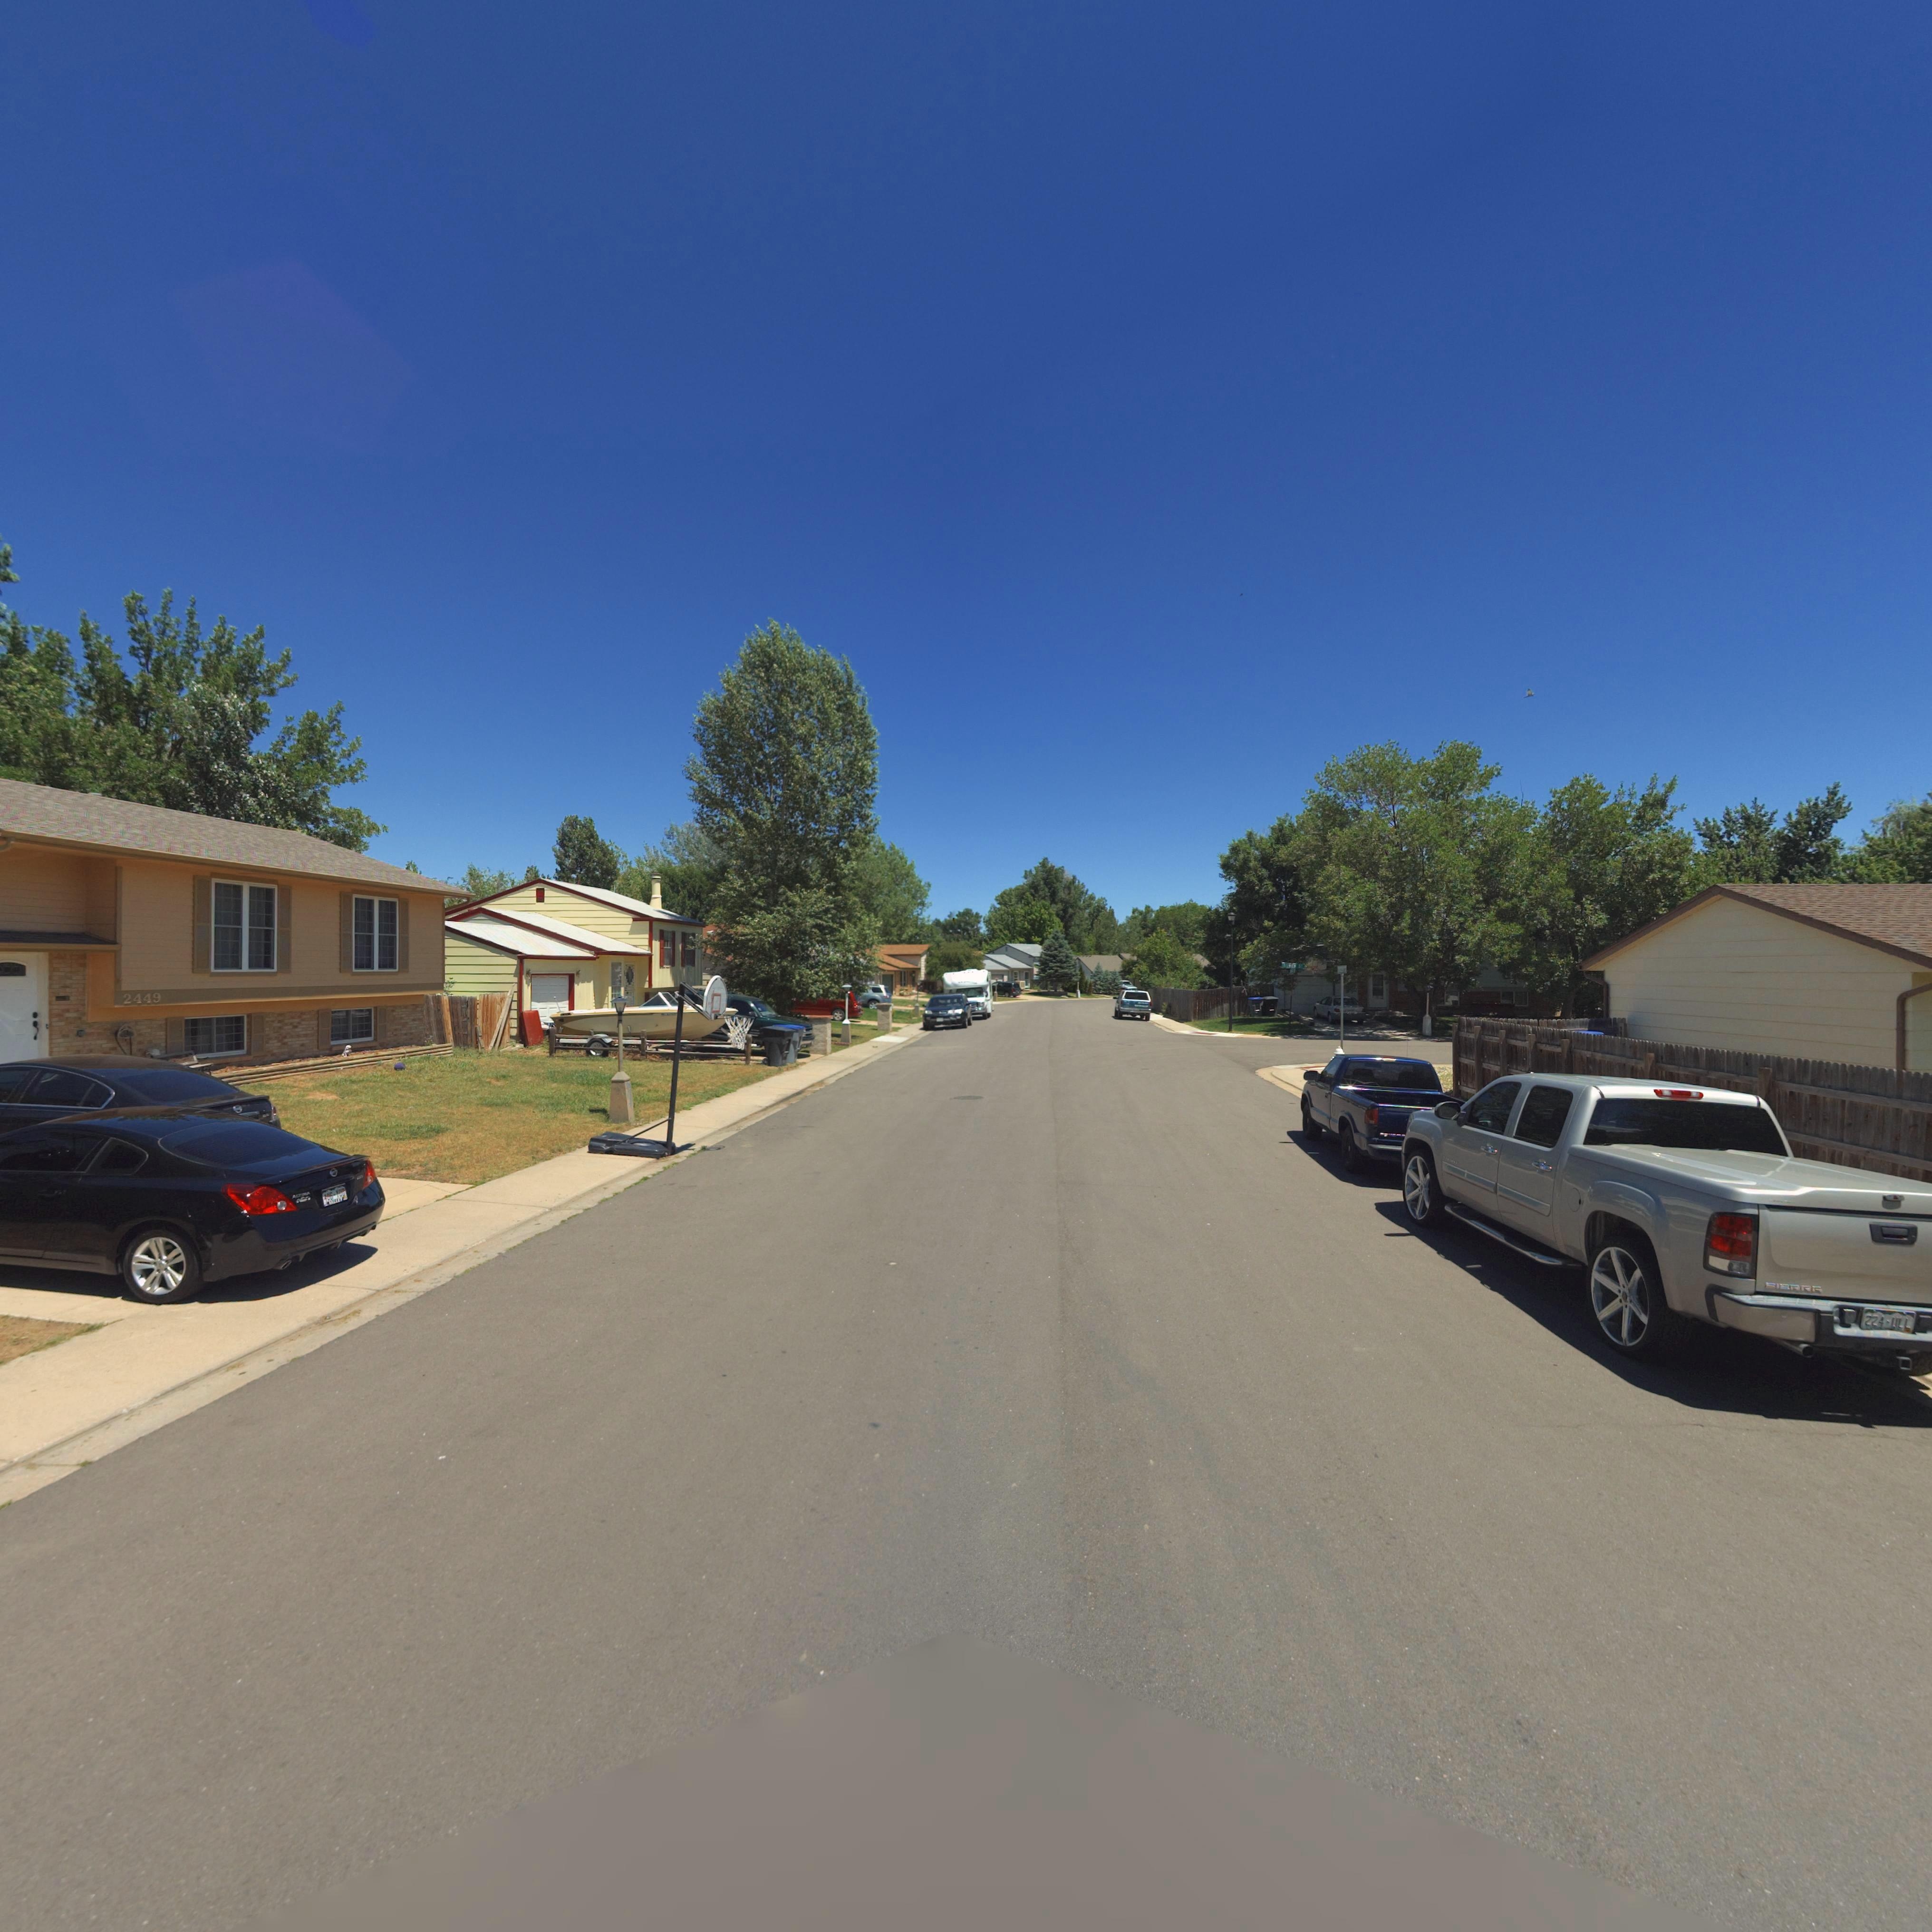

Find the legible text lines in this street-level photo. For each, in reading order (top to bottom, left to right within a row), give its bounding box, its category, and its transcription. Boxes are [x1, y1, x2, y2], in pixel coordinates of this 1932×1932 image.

[122, 992, 161, 1004] StreetNumber: 2449